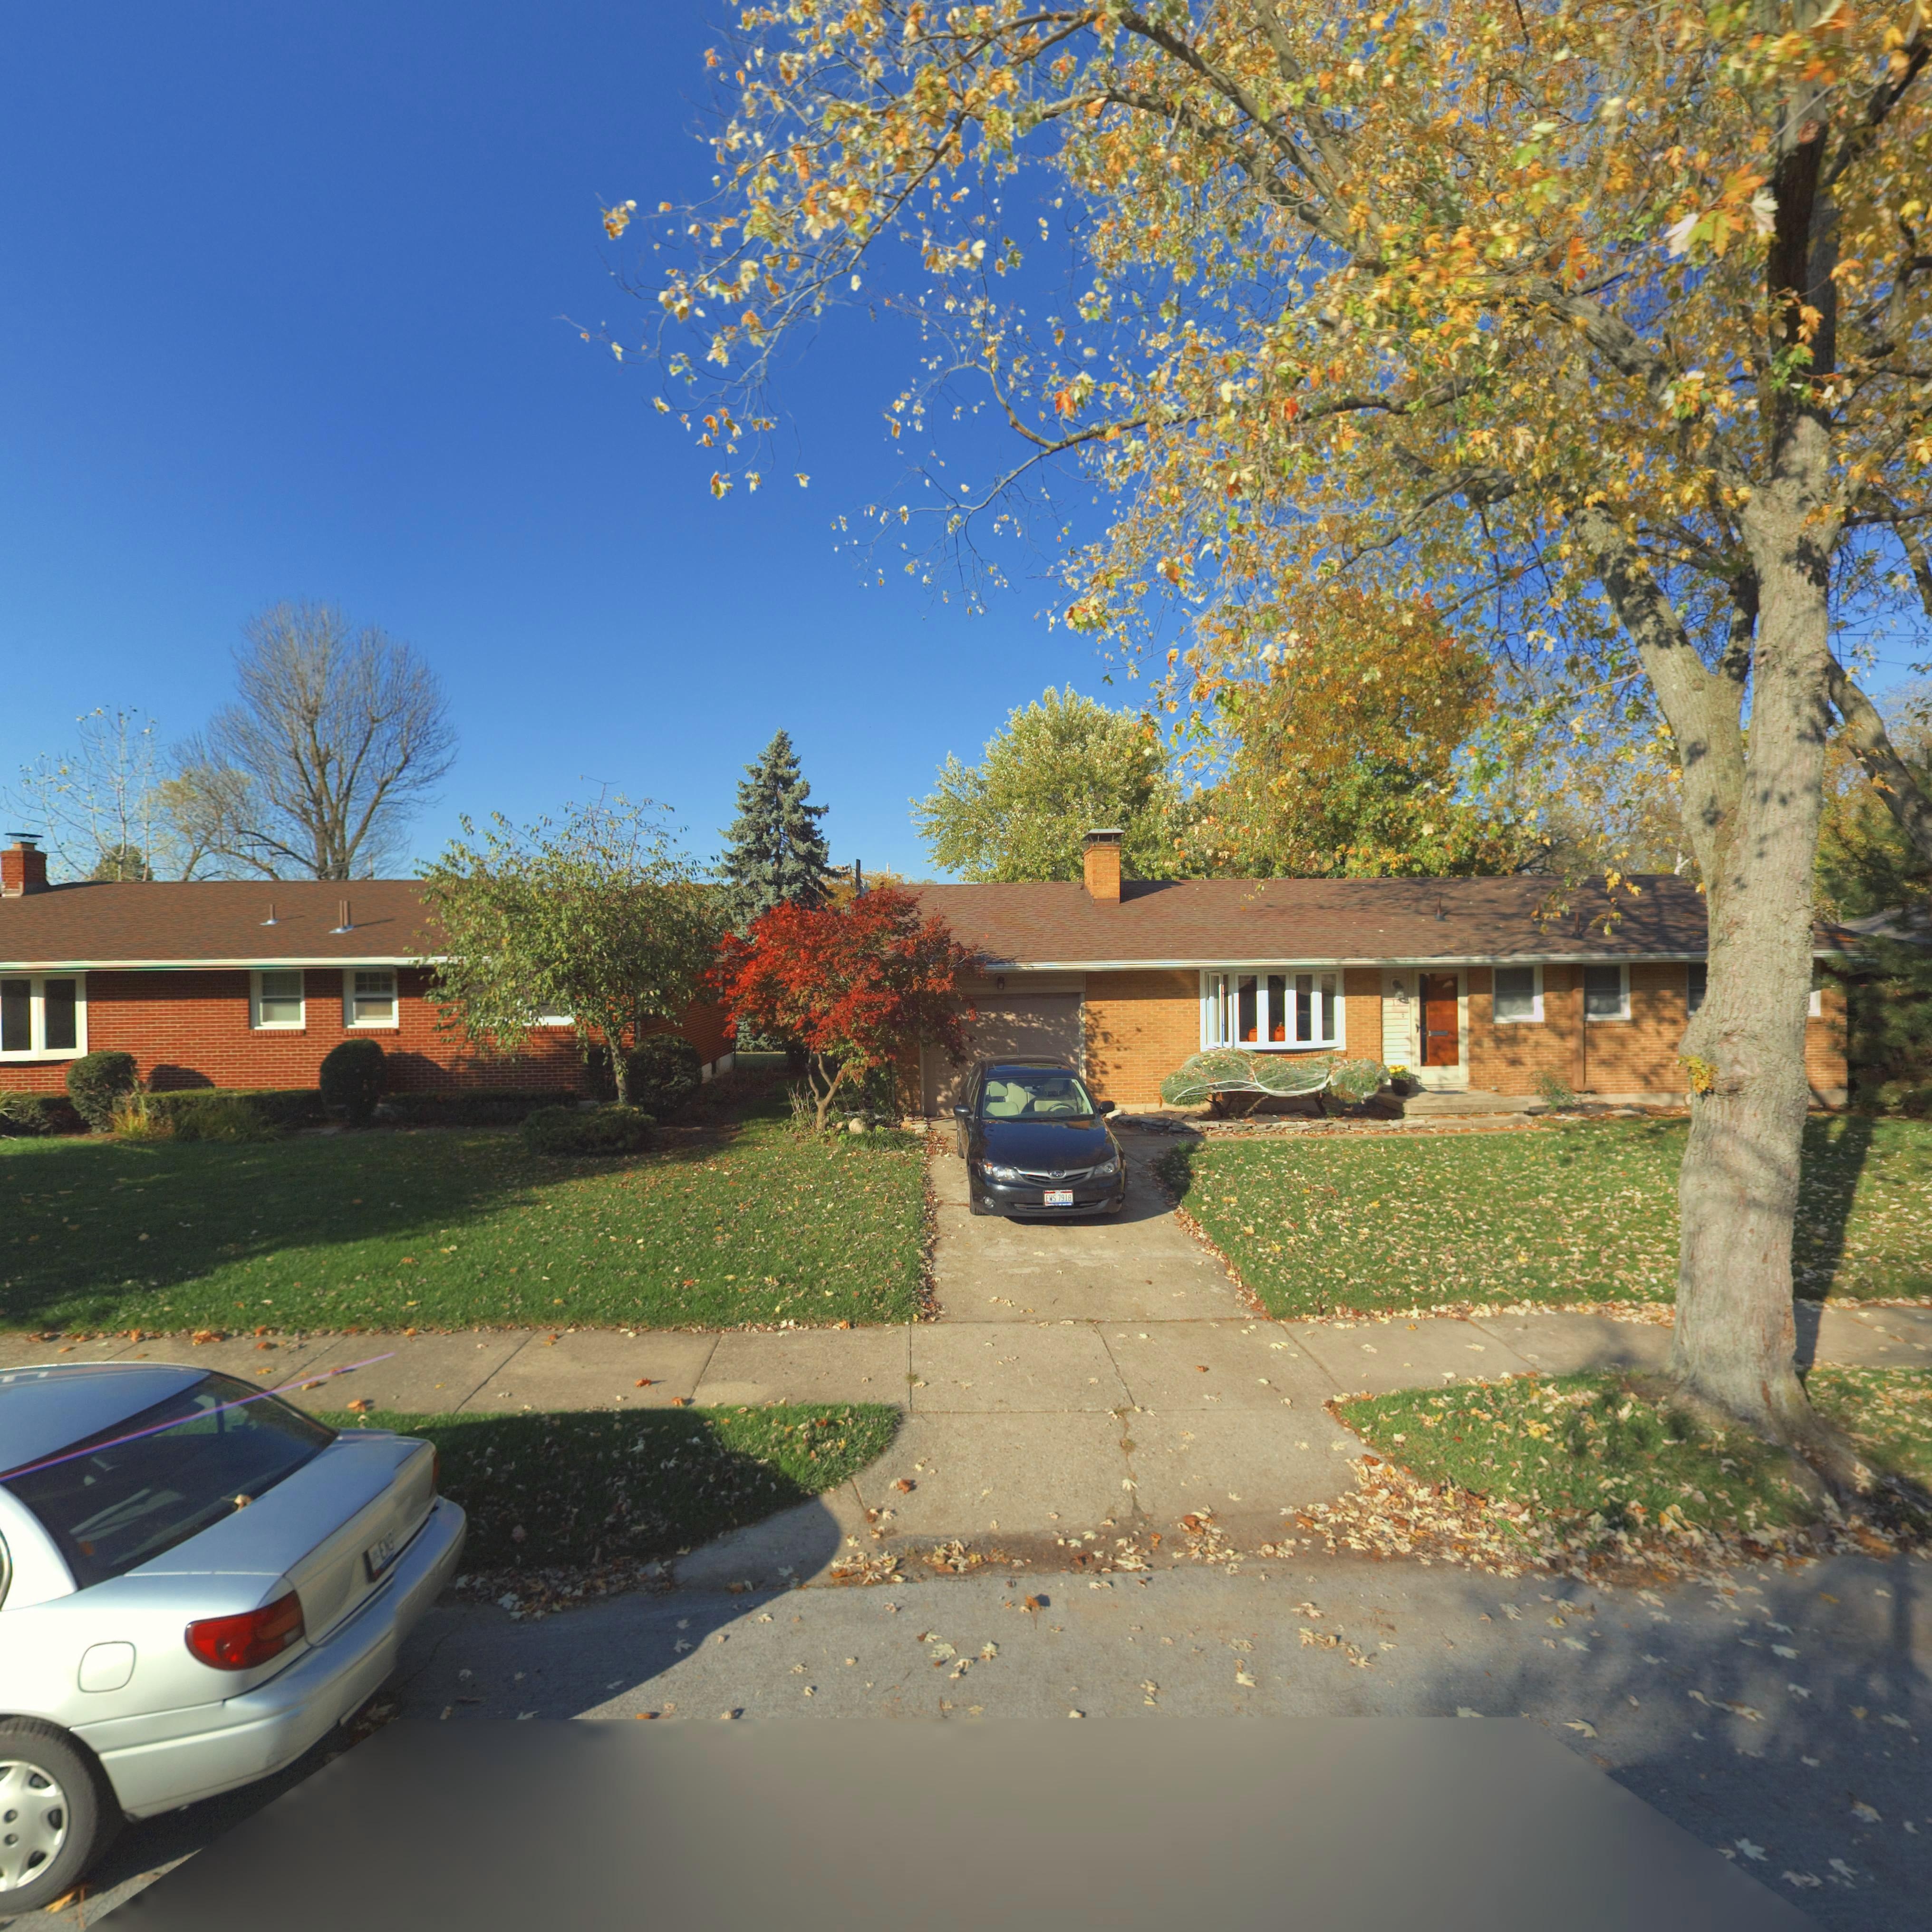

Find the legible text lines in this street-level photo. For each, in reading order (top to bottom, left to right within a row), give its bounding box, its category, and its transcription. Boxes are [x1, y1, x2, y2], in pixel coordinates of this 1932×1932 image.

[1391, 999, 1401, 1006] StreetNumber: 19